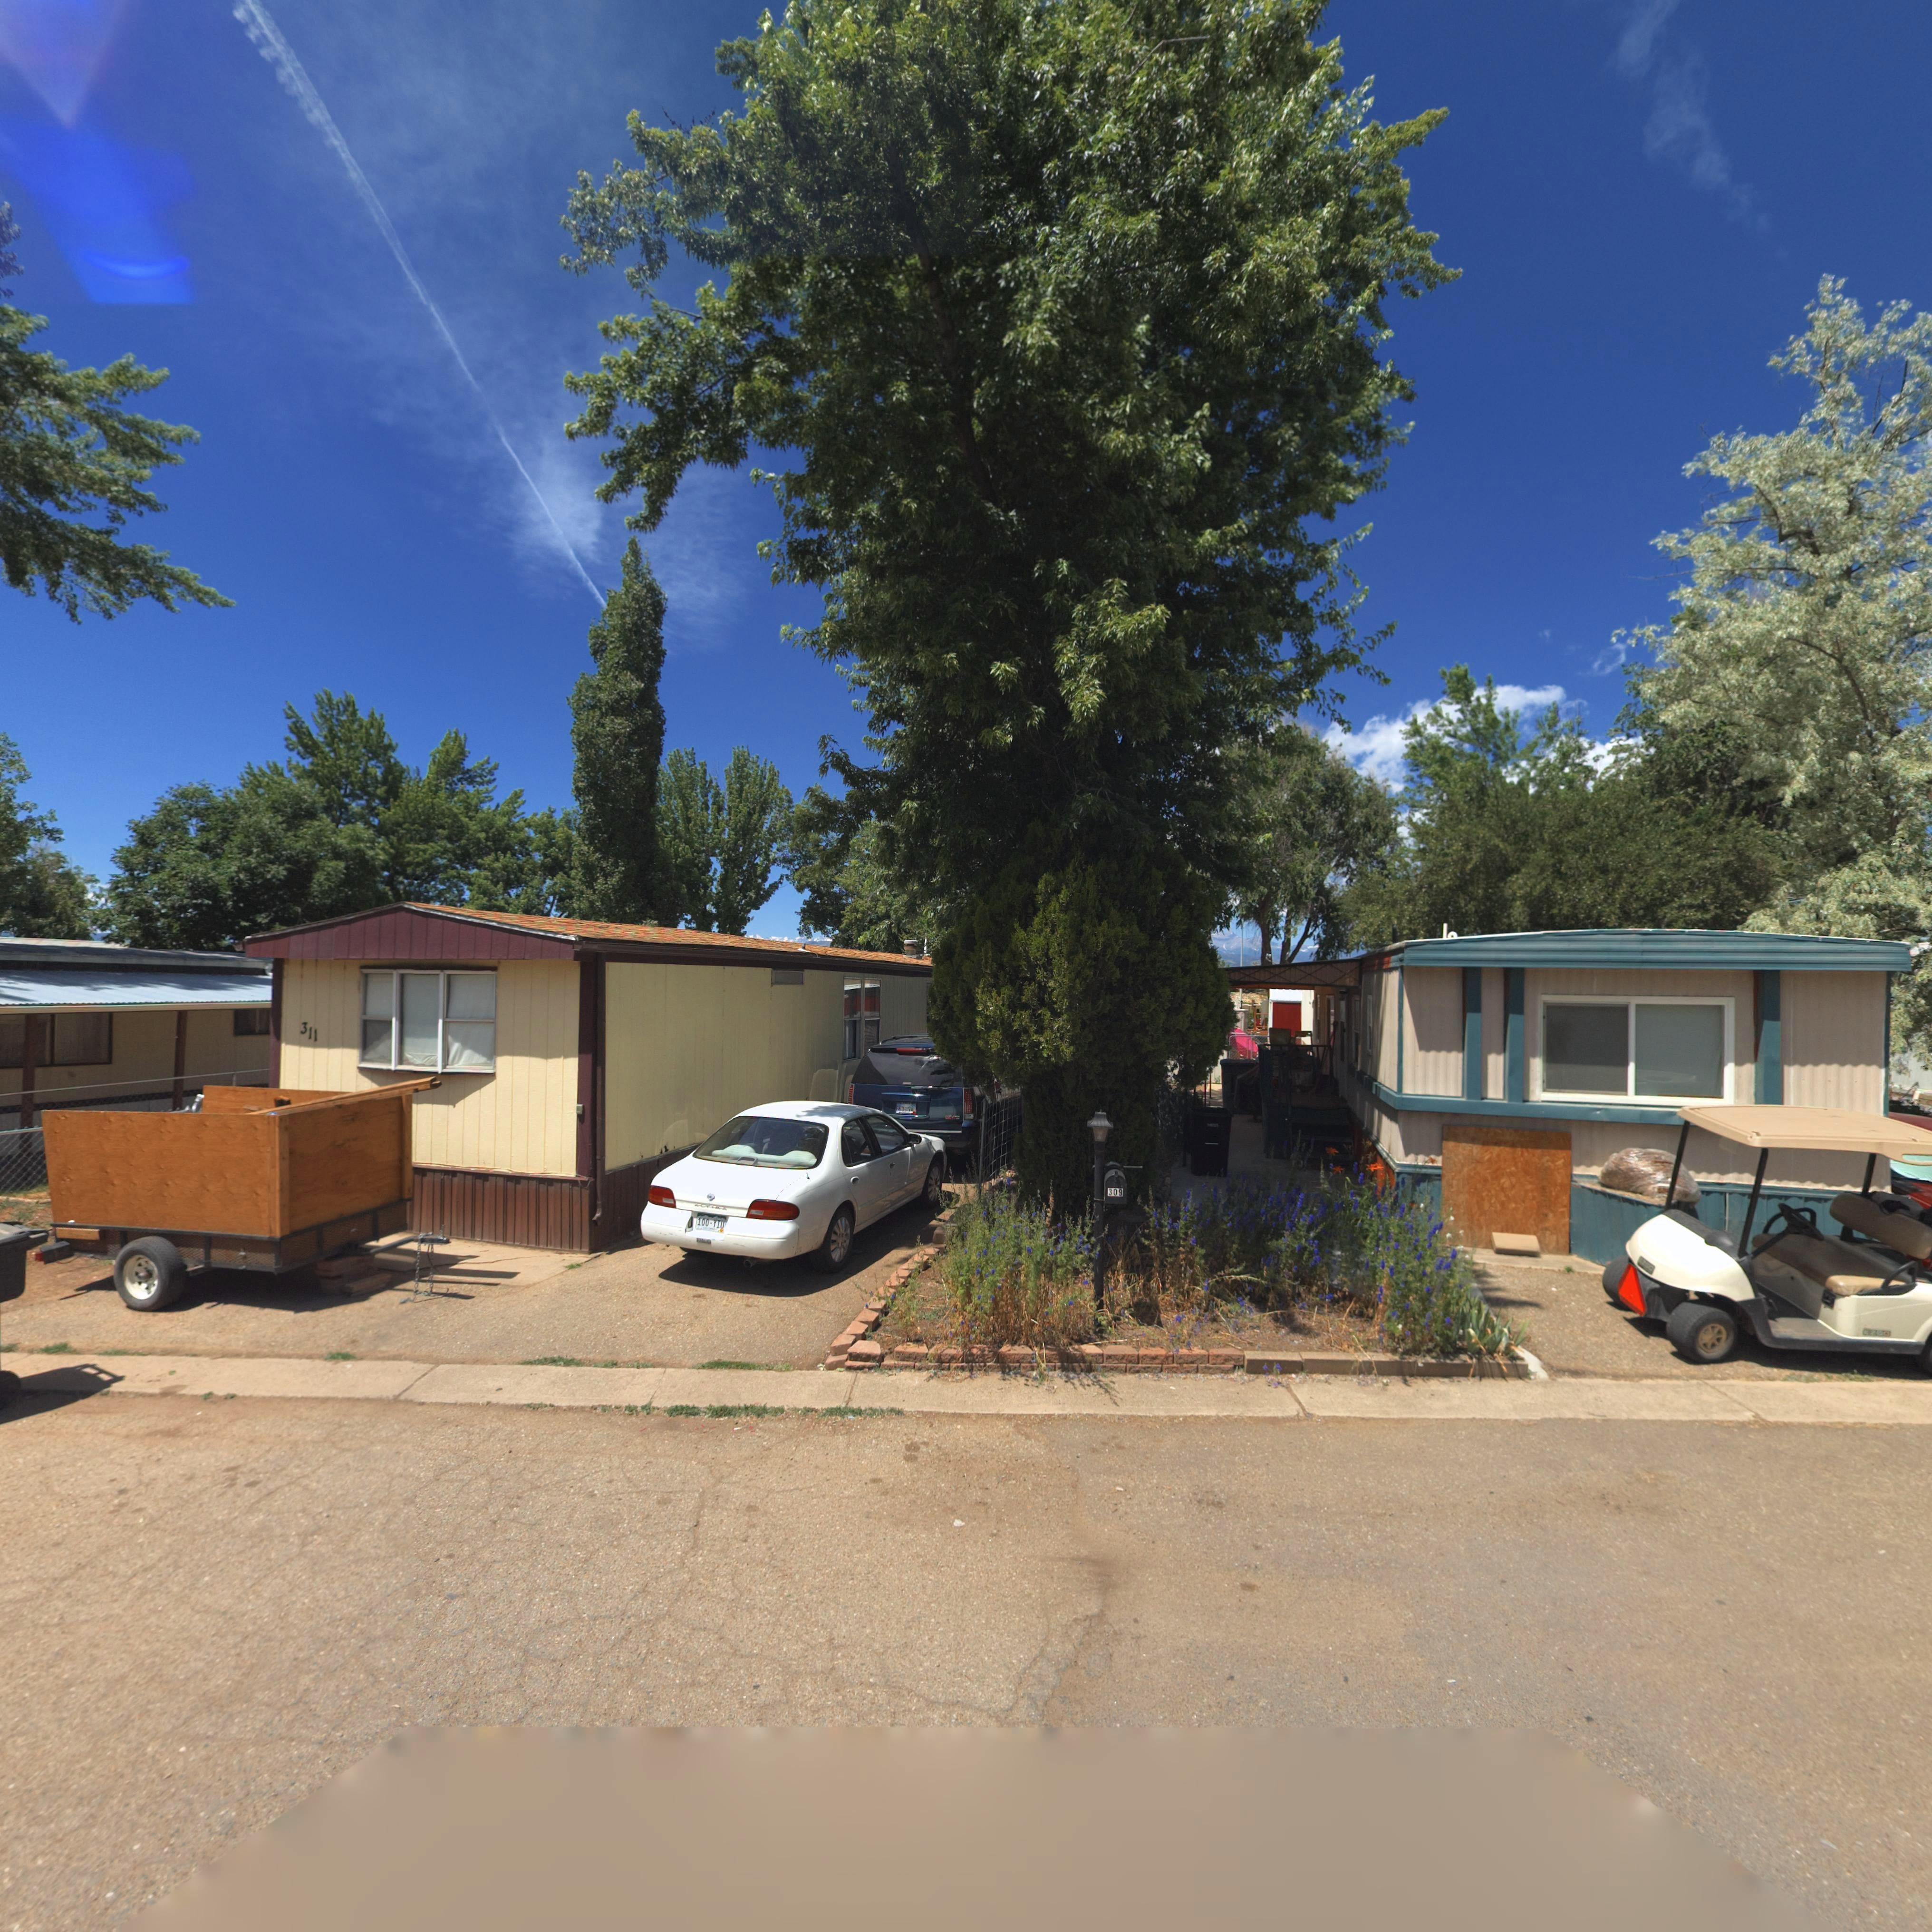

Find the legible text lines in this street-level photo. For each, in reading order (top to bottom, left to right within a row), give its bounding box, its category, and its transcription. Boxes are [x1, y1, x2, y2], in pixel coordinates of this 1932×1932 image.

[300, 1022, 317, 1041] StreetNumber: 311
[1108, 1188, 1122, 1196] StreetNumber: 309